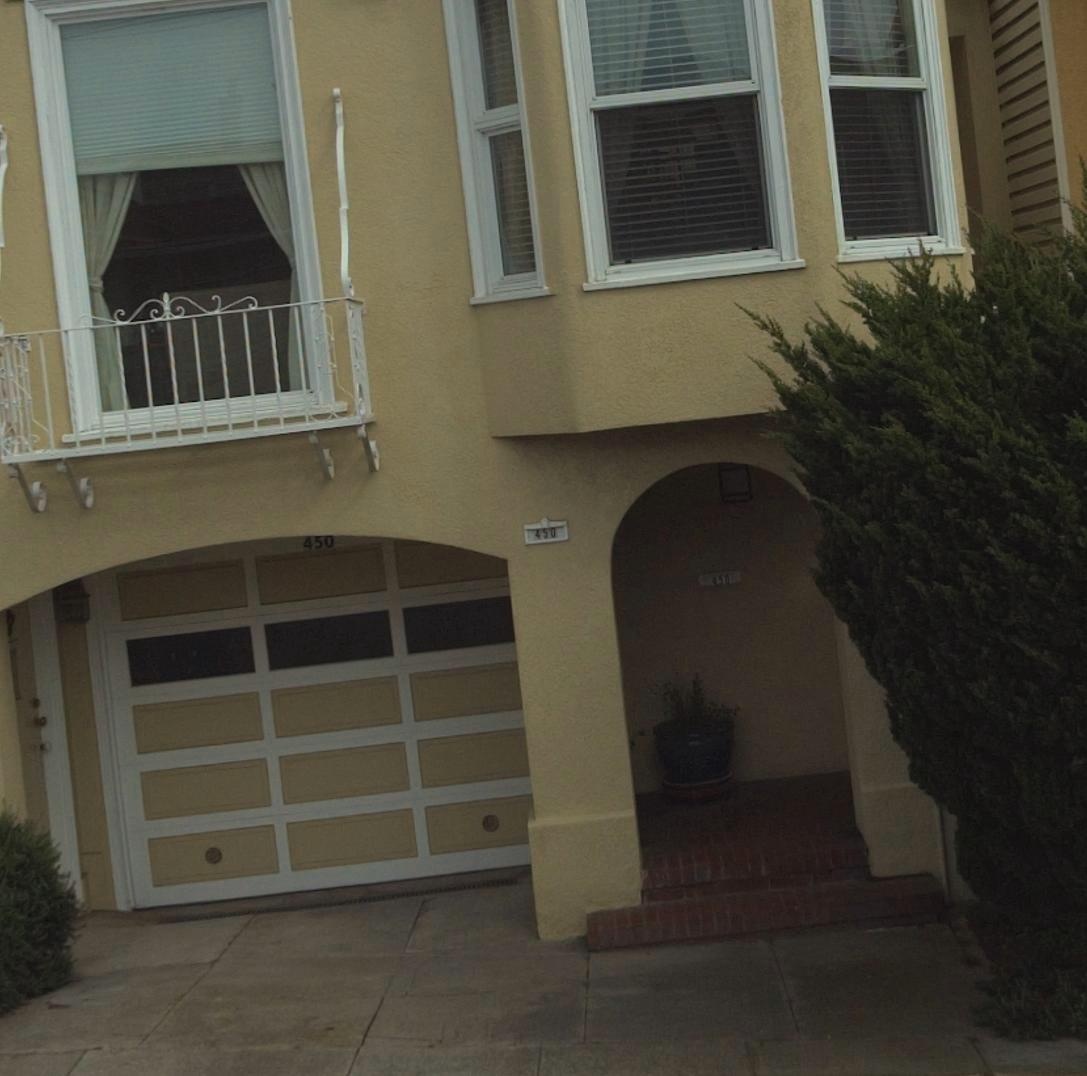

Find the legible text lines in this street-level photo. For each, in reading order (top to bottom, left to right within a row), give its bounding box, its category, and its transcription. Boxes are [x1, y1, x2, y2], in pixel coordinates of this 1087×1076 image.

[534, 527, 557, 541] StreetNumber: 450
[302, 534, 335, 551] StreetNumber: 450
[711, 573, 732, 587] StreetNumber: 450